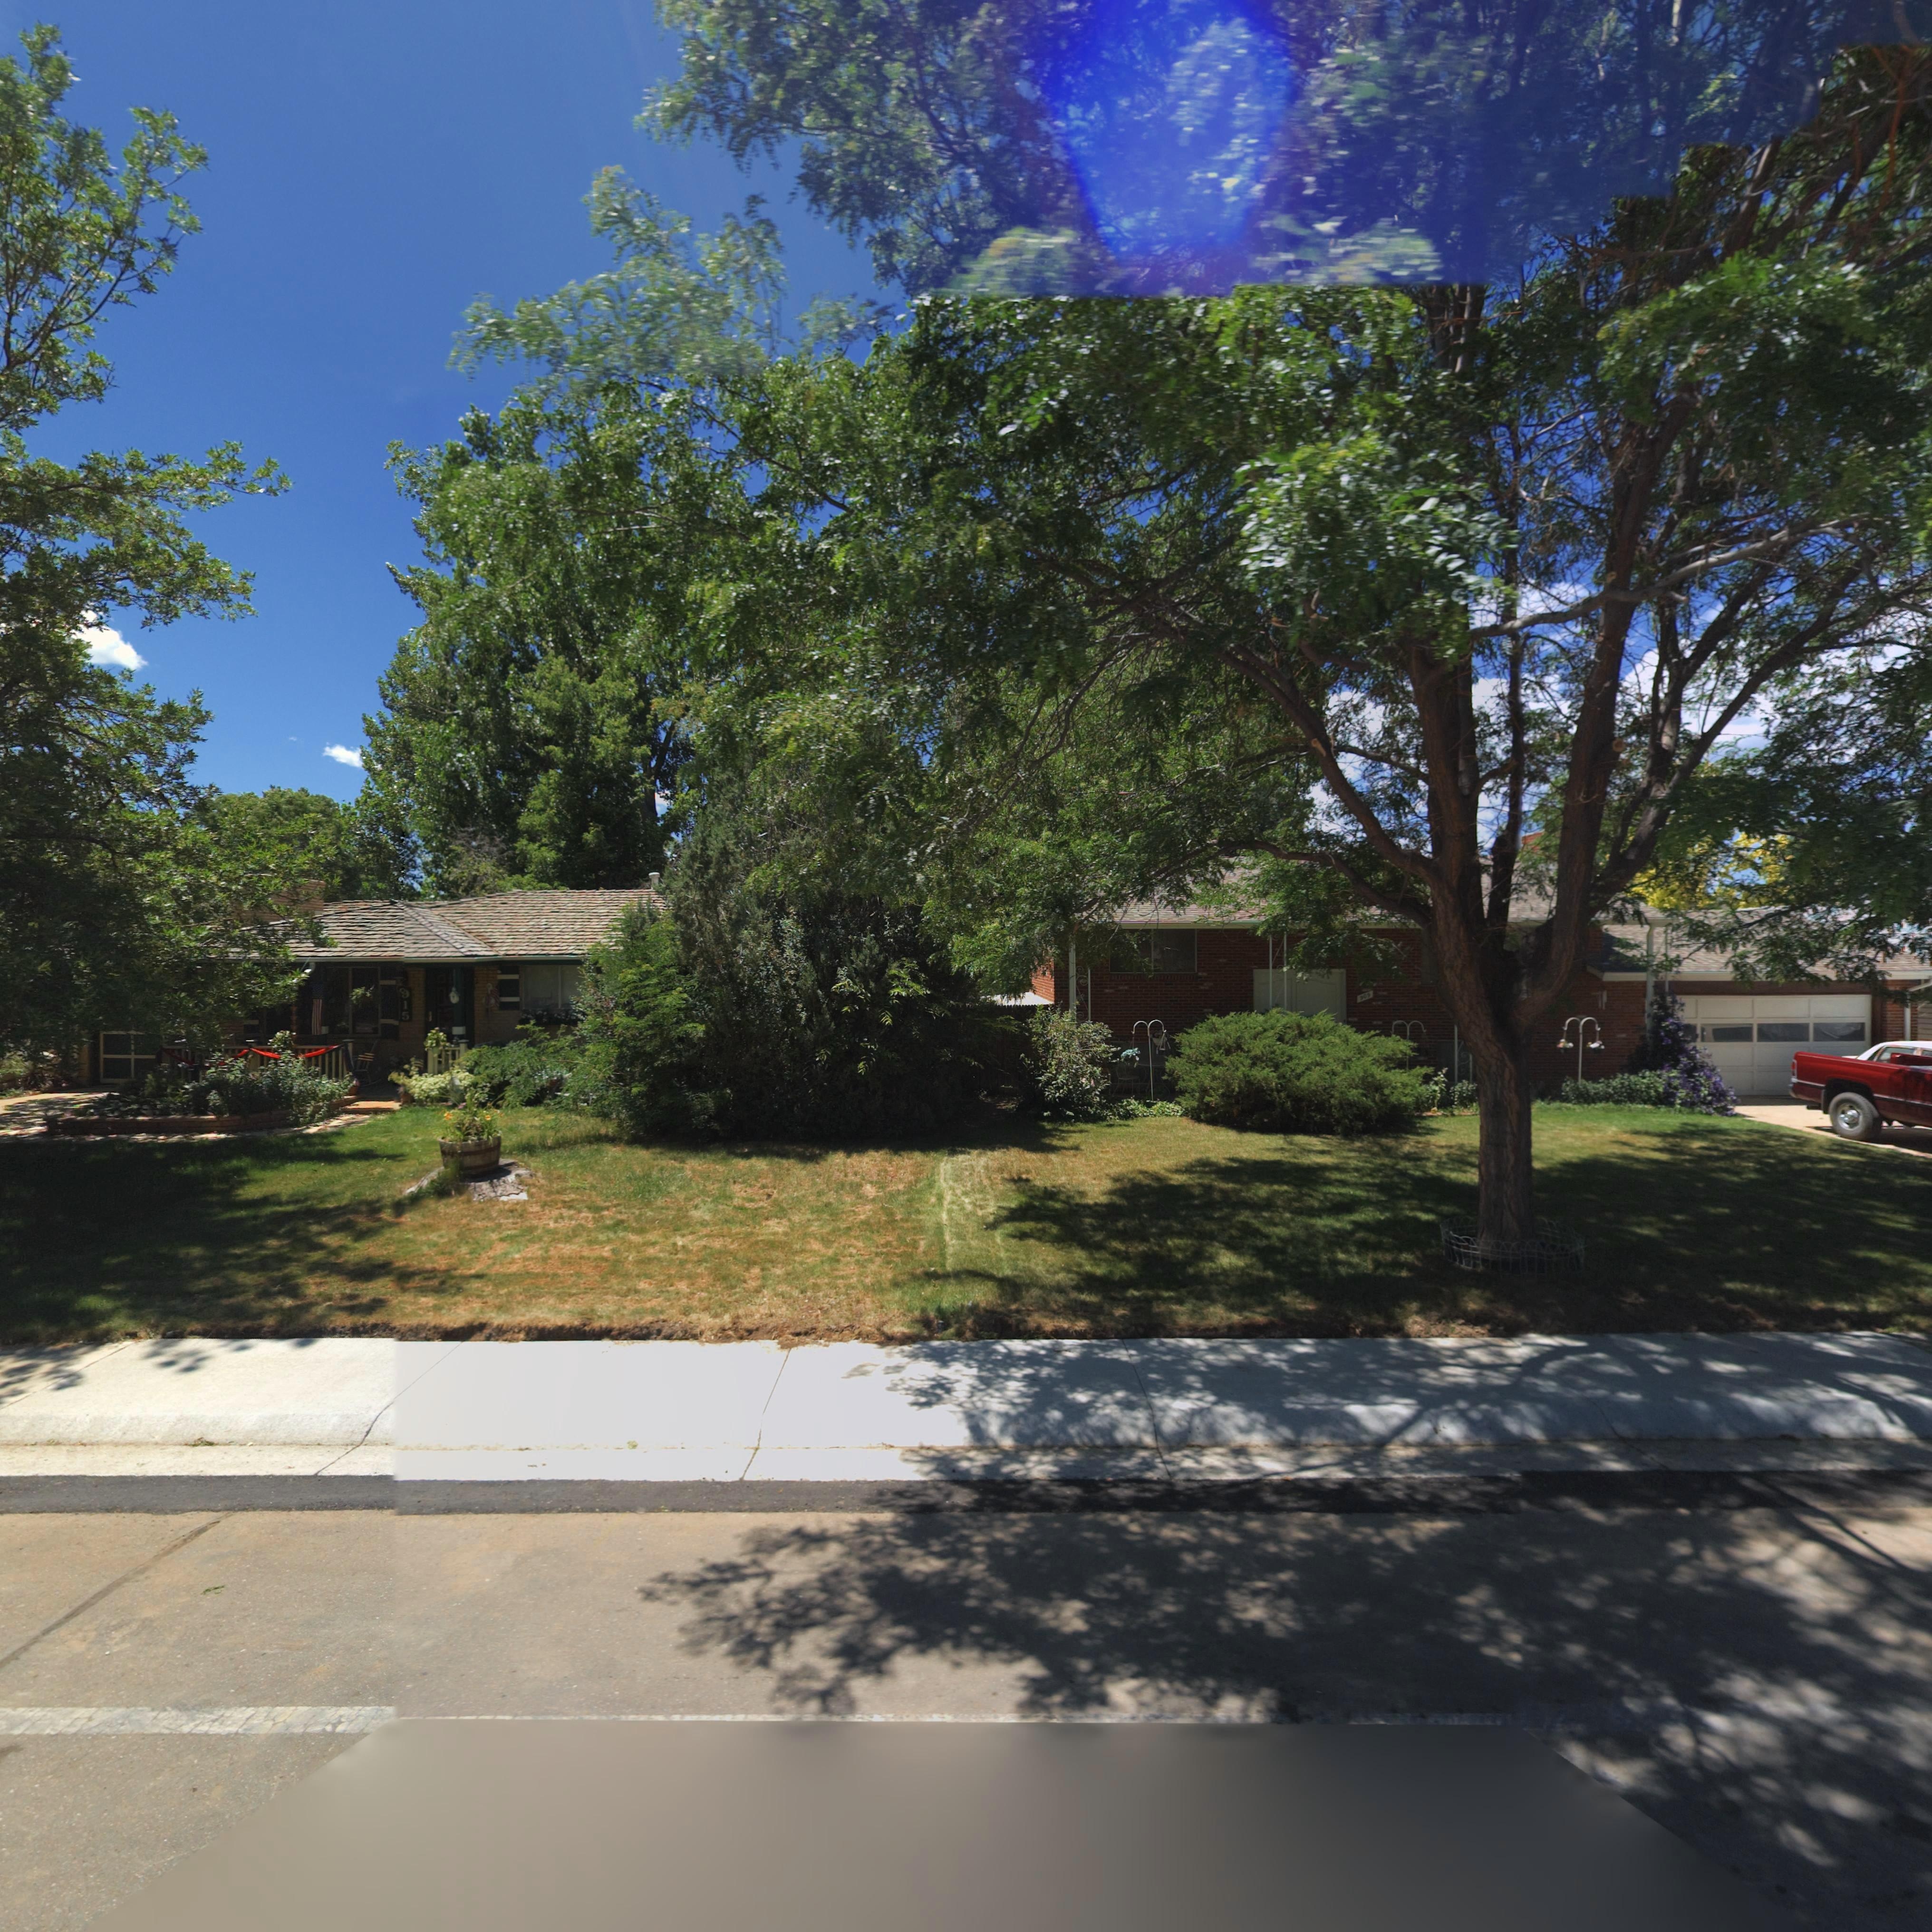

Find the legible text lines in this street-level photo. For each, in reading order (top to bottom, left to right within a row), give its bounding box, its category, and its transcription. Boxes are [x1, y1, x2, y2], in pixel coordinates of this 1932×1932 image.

[401, 988, 409, 1021] StreetNumber: 915
[1359, 992, 1371, 1001] StreetNumber: 909